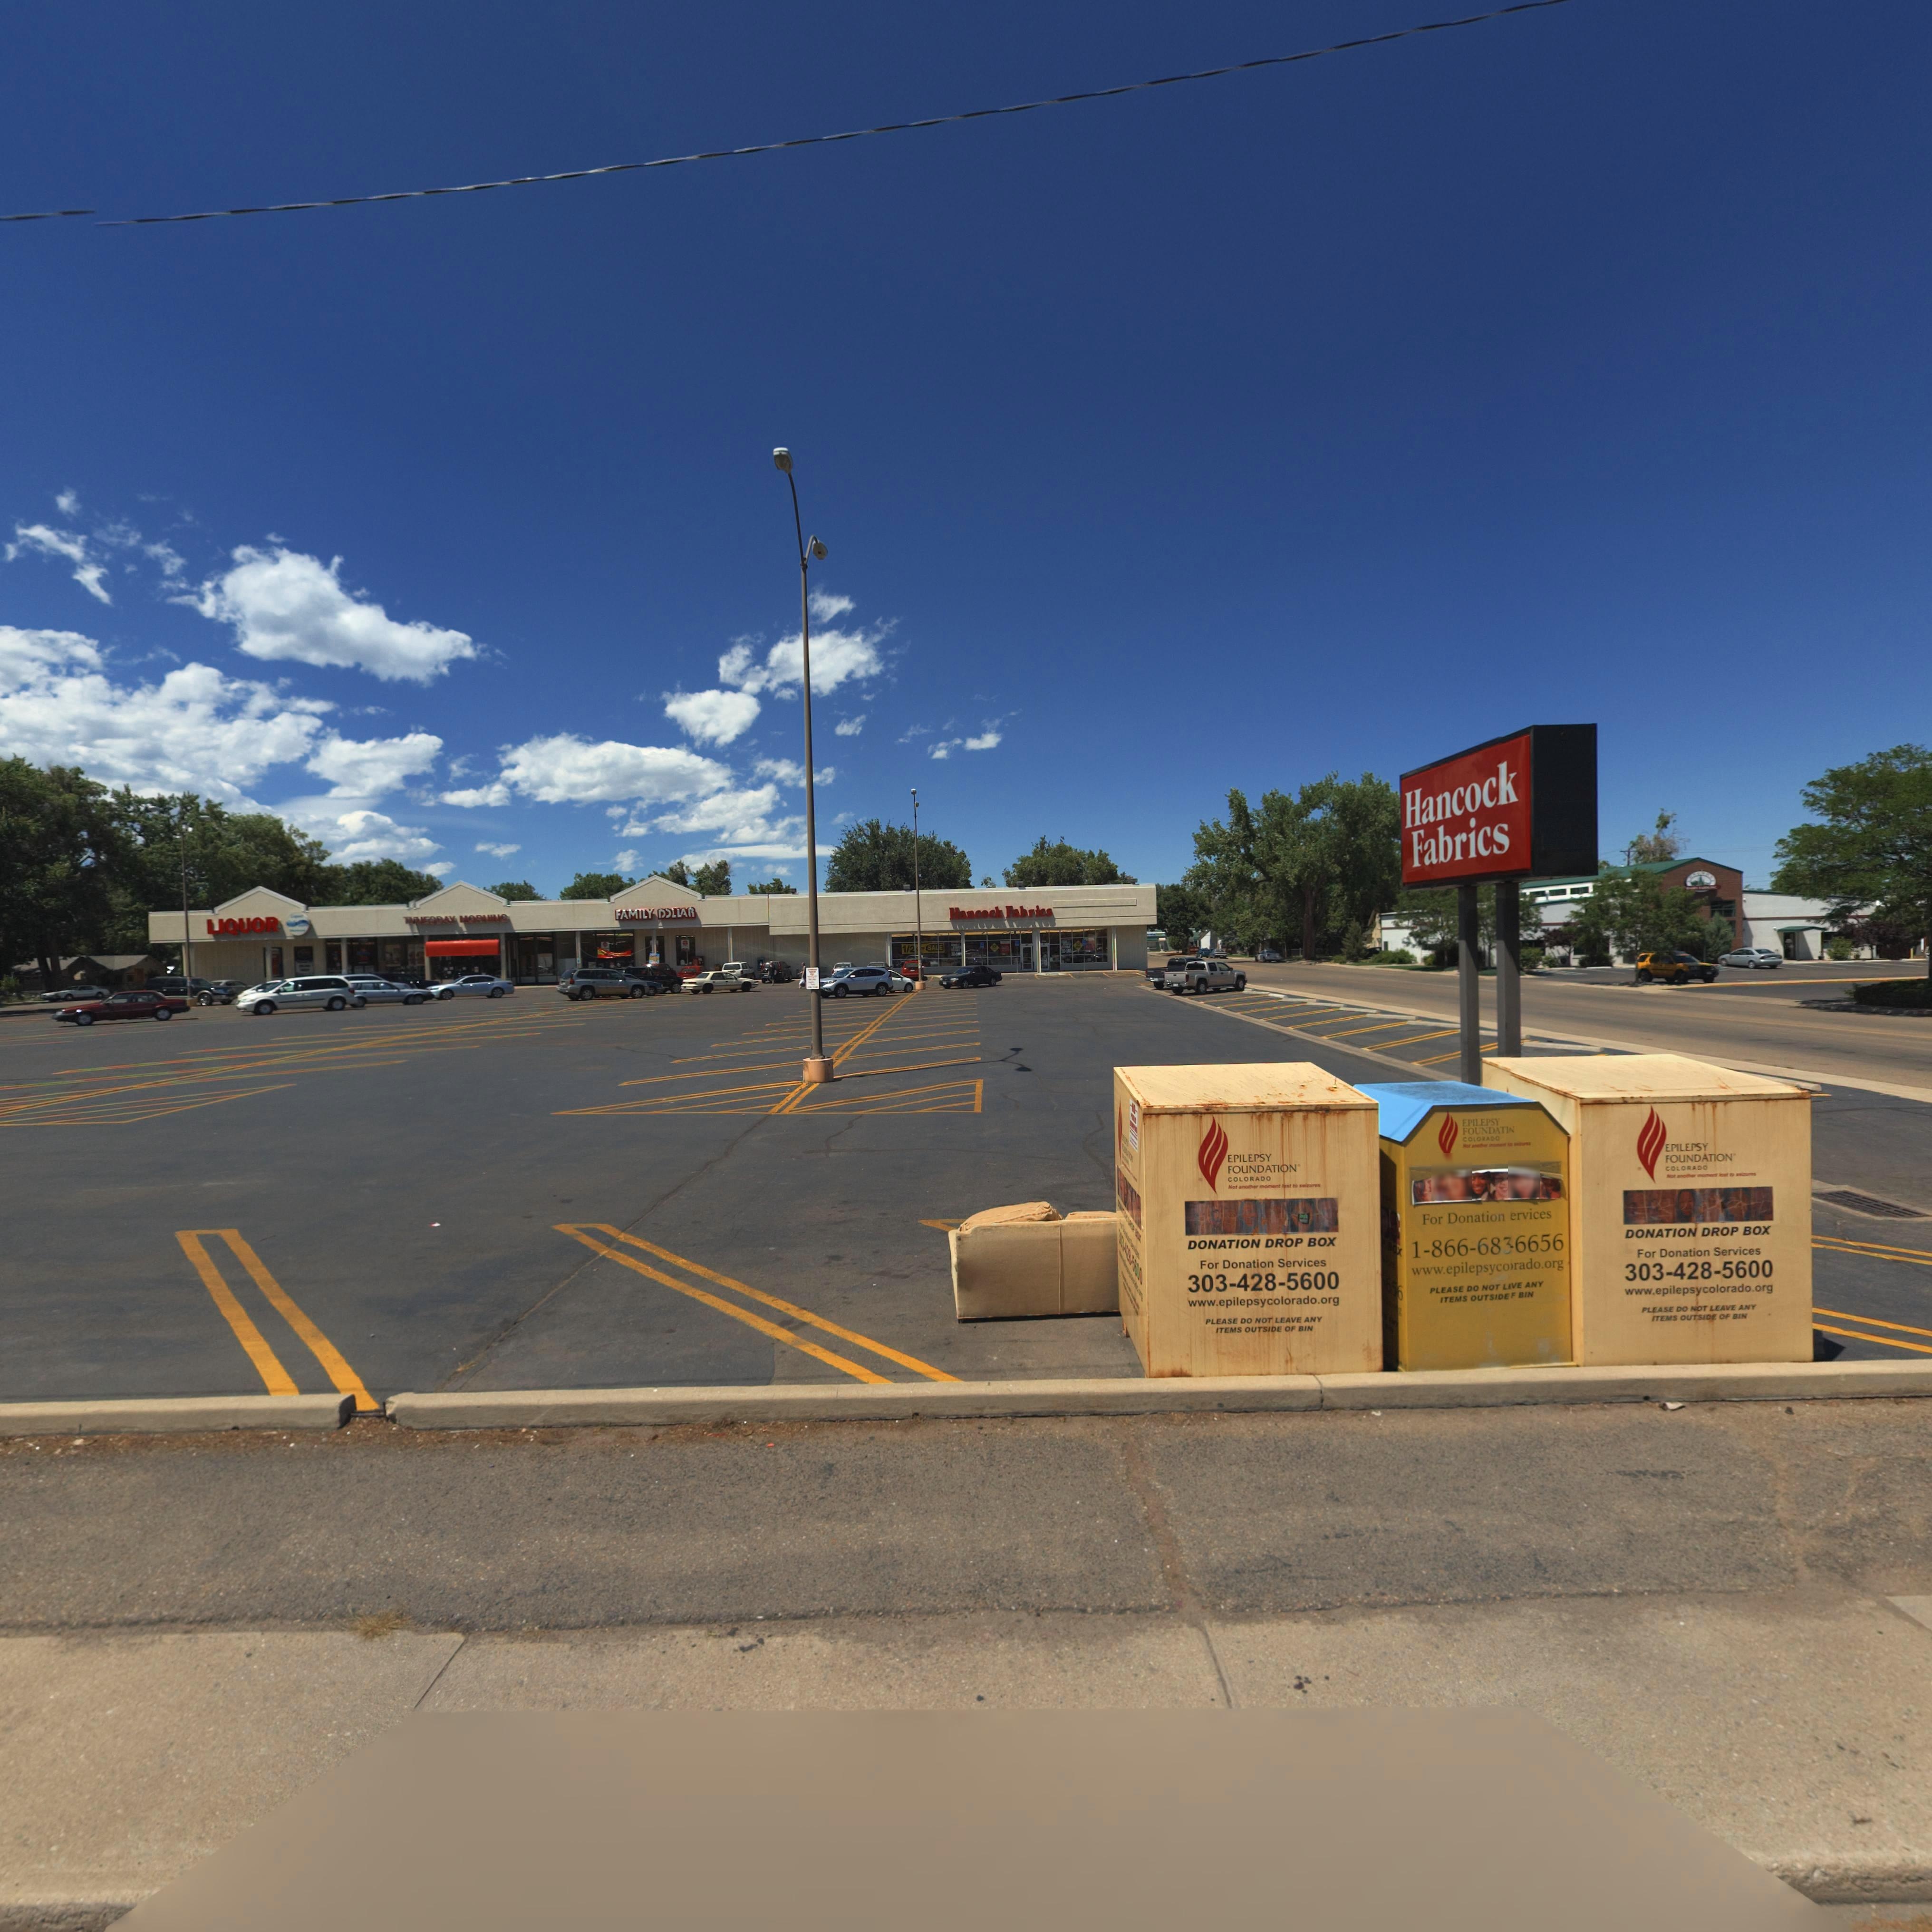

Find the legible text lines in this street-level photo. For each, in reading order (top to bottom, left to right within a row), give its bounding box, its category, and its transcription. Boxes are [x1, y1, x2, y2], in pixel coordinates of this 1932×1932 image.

[1403, 760, 1519, 830] BusinessName: Hancock
[1410, 817, 1510, 868] BusinessName: Fabrics
[1686, 871, 1715, 882] BusinessName: LONGMONT
[1686, 886, 1717, 889] BusinessName: DAIRY FARM INC.
[403, 913, 508, 924] BusinessName: TUESDAY MORNING
[615, 906, 696, 920] BusinessName: FAMILY D*LLAR
[948, 905, 1053, 920] BusinessName: Hancock Fabrics
[1041, 940, 1046, 942] StreetNumber: 700